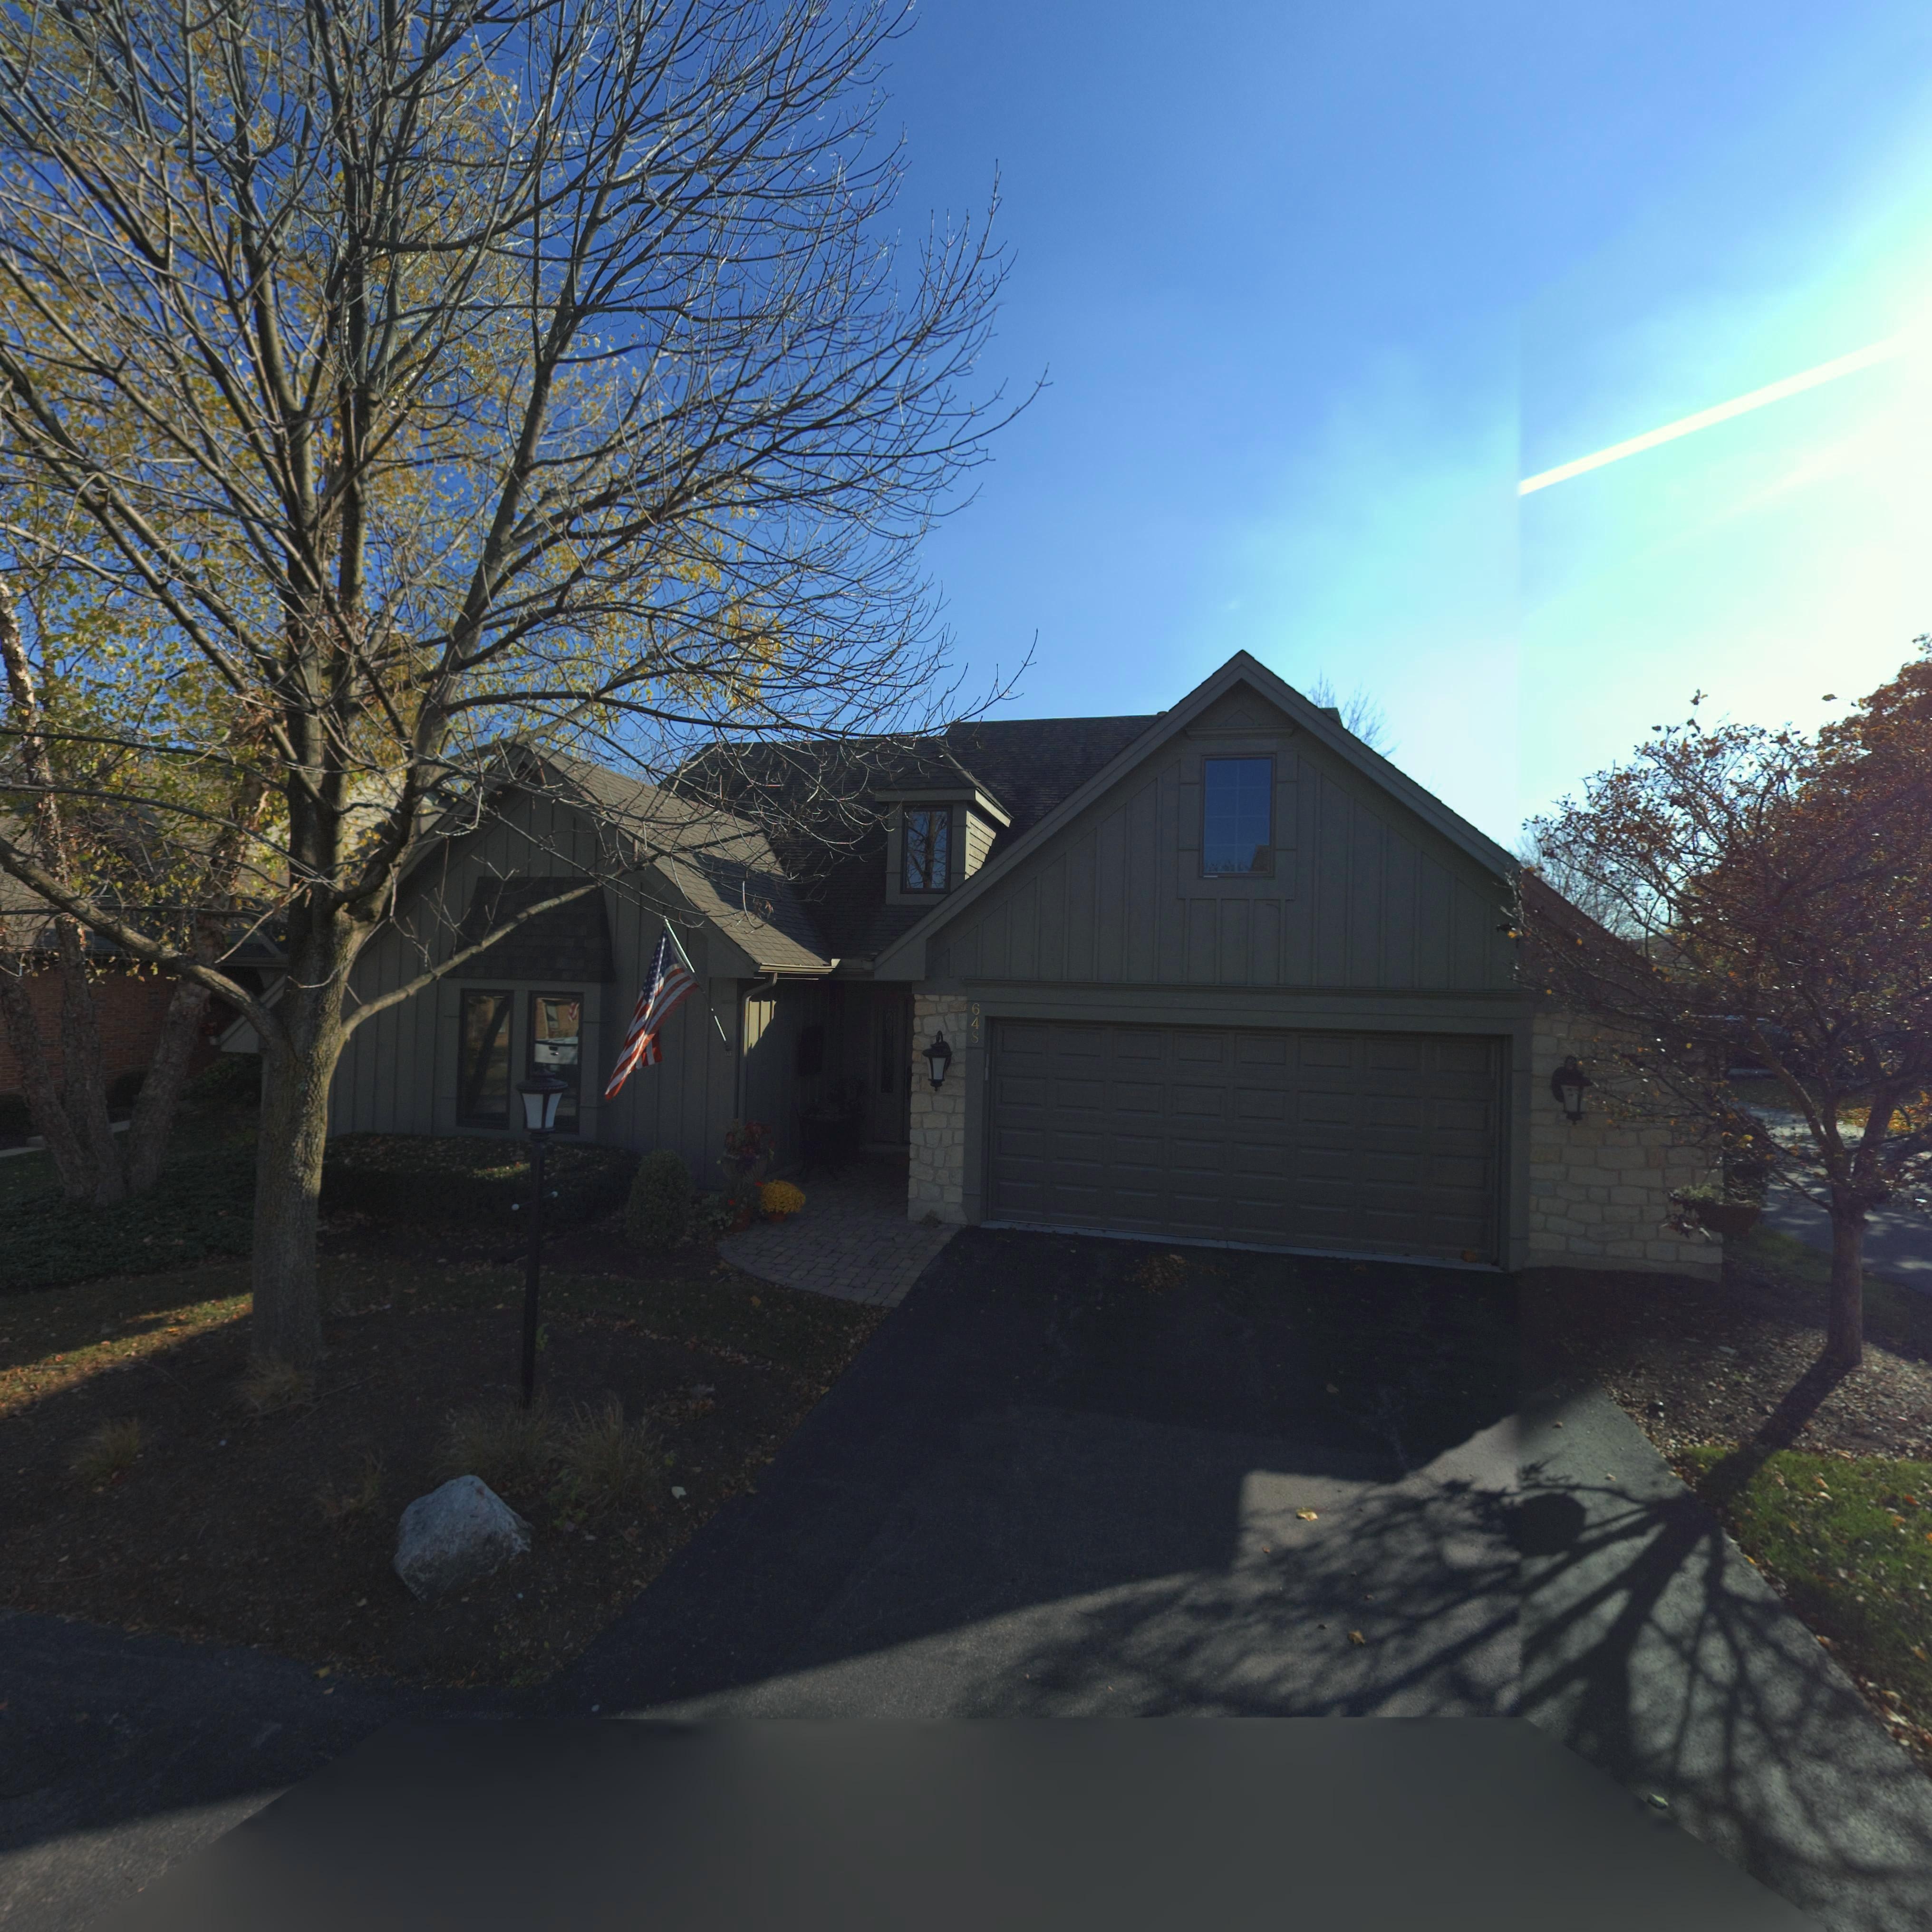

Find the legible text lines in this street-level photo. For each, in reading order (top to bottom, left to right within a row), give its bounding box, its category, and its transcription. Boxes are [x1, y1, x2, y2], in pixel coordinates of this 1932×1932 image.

[969, 1001, 981, 1046] StreetNumber: 648